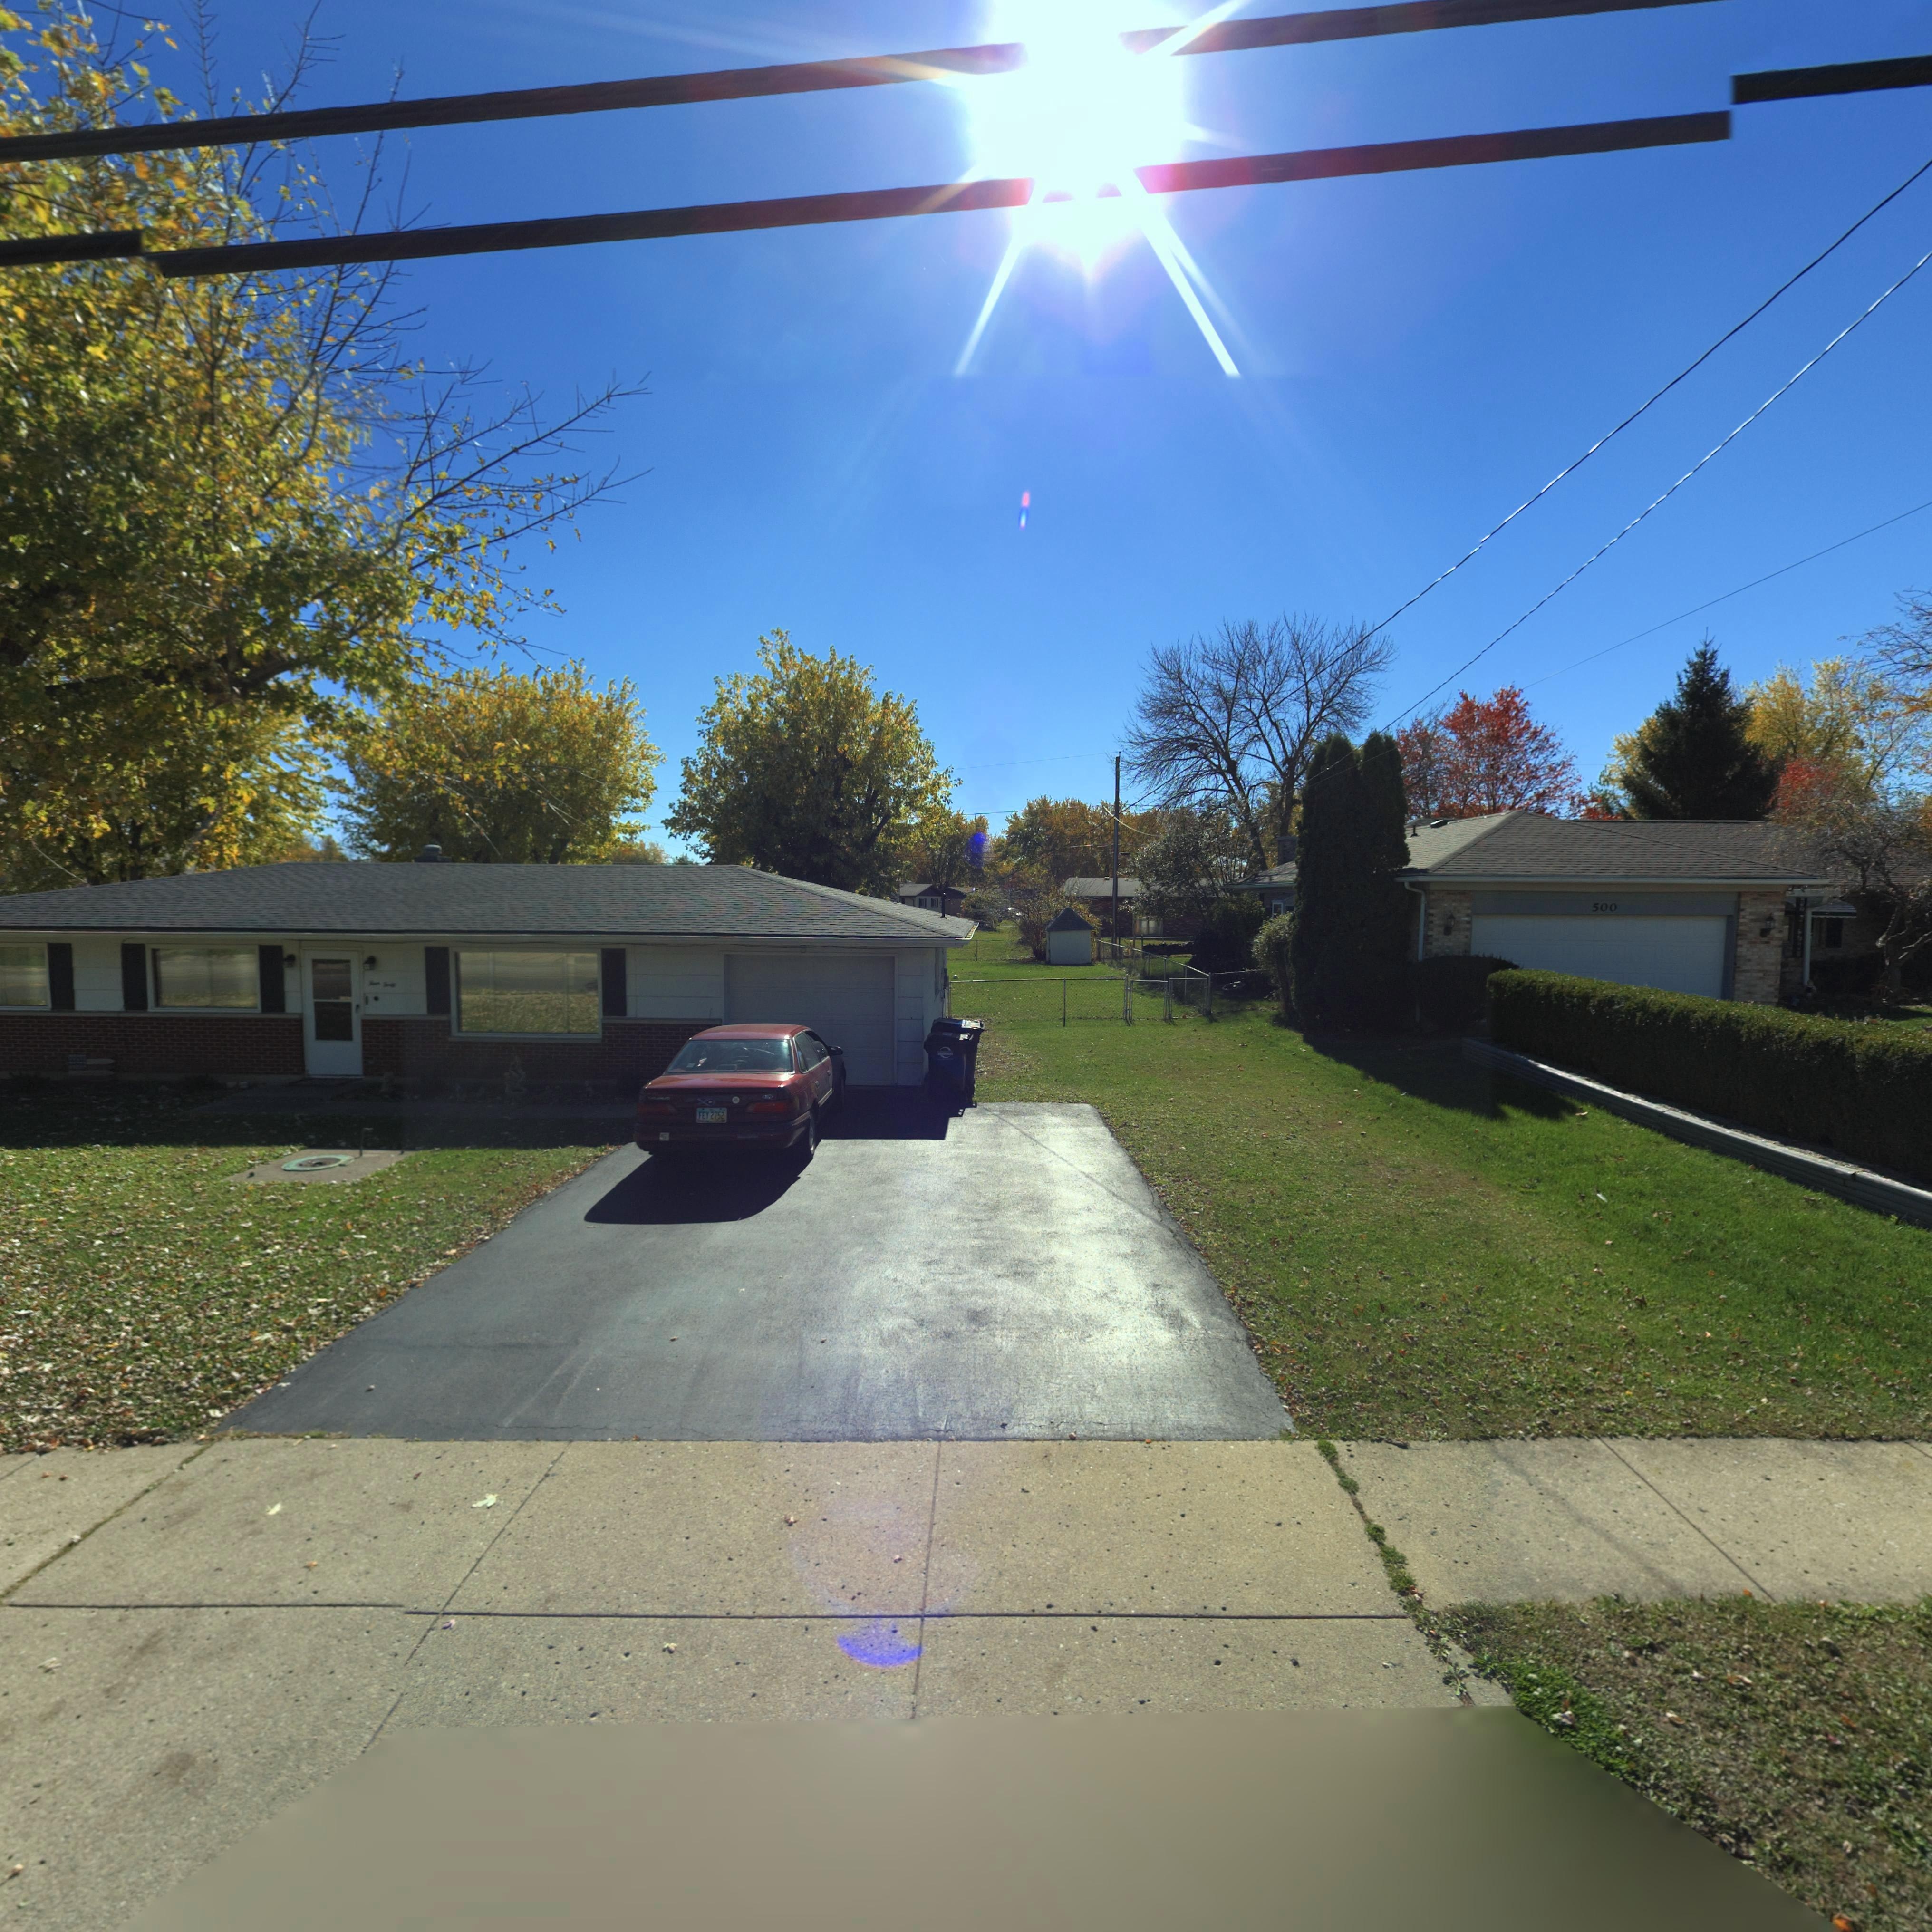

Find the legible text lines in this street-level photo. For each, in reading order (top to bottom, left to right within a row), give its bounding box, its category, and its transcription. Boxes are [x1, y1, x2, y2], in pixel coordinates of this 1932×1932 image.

[1592, 902, 1618, 913] StreetNumber: 500